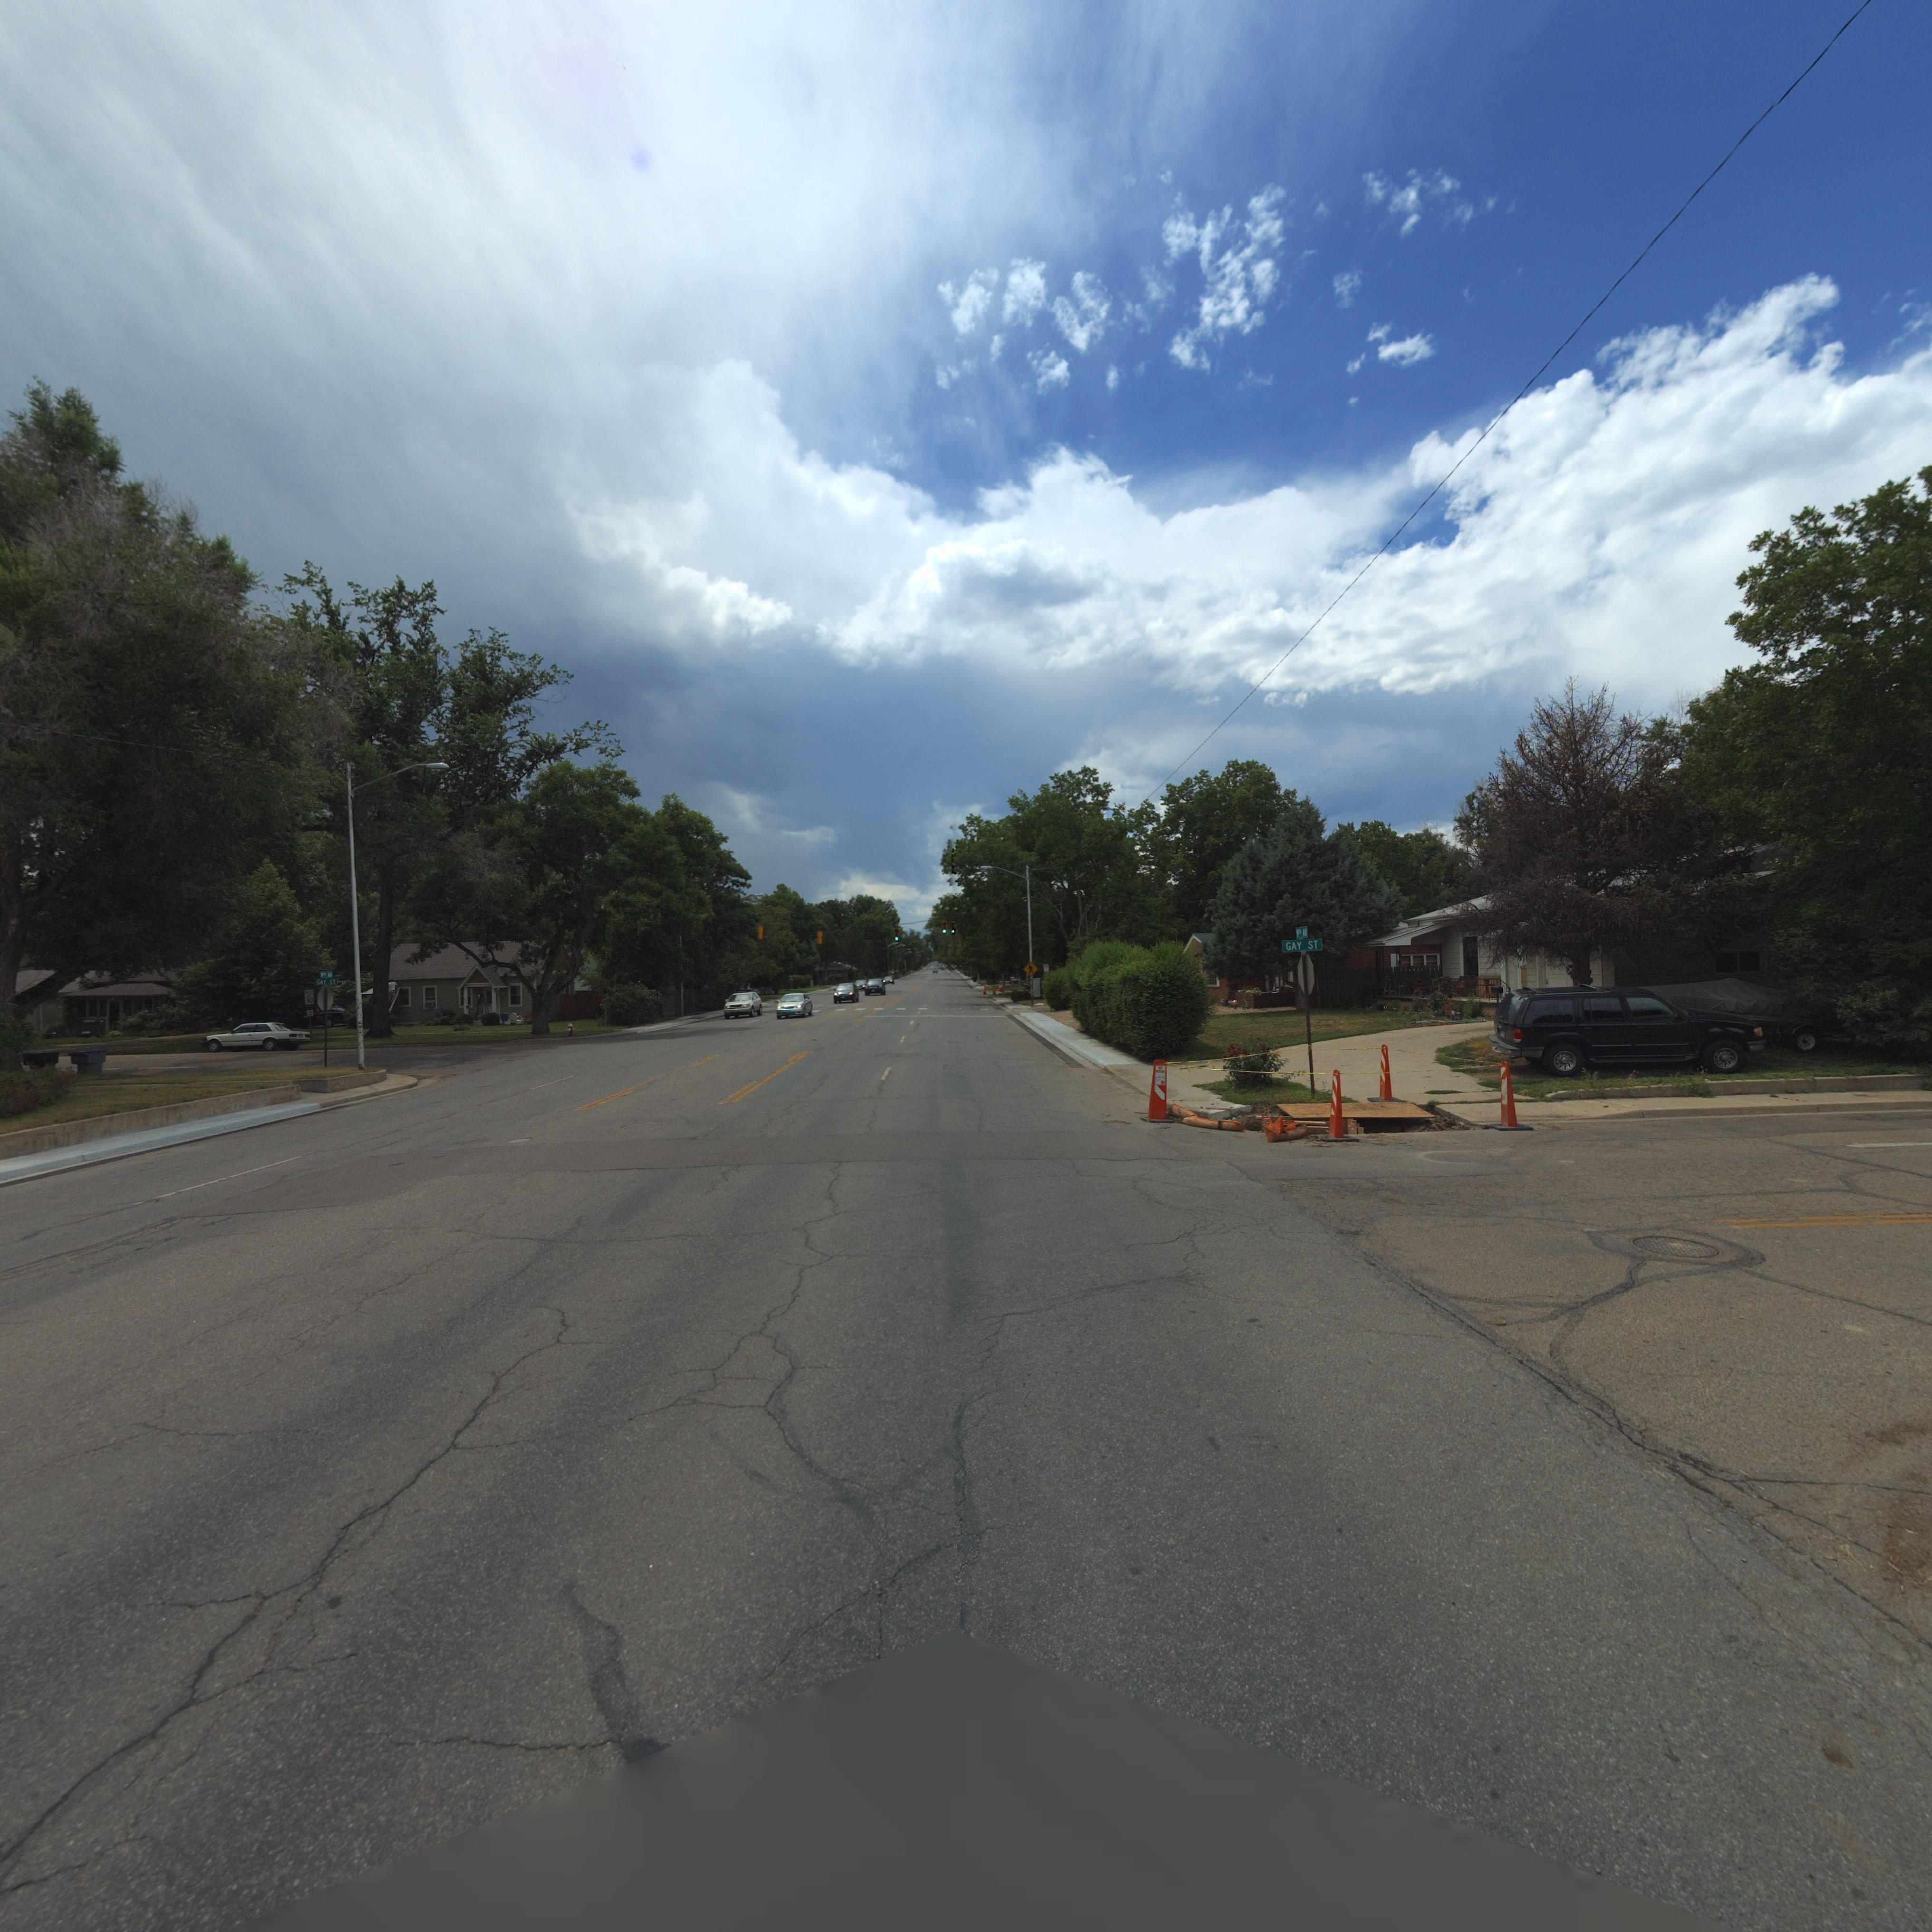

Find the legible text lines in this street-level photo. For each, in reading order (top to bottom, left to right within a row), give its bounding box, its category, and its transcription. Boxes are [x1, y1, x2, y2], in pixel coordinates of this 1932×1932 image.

[1295, 927, 1307, 937] StreetName: 9TH AV
[1285, 940, 1318, 951] StreetName: GAY ST
[320, 972, 333, 977] StreetName: *** AV
[316, 979, 335, 985] StreetName: GAY ST